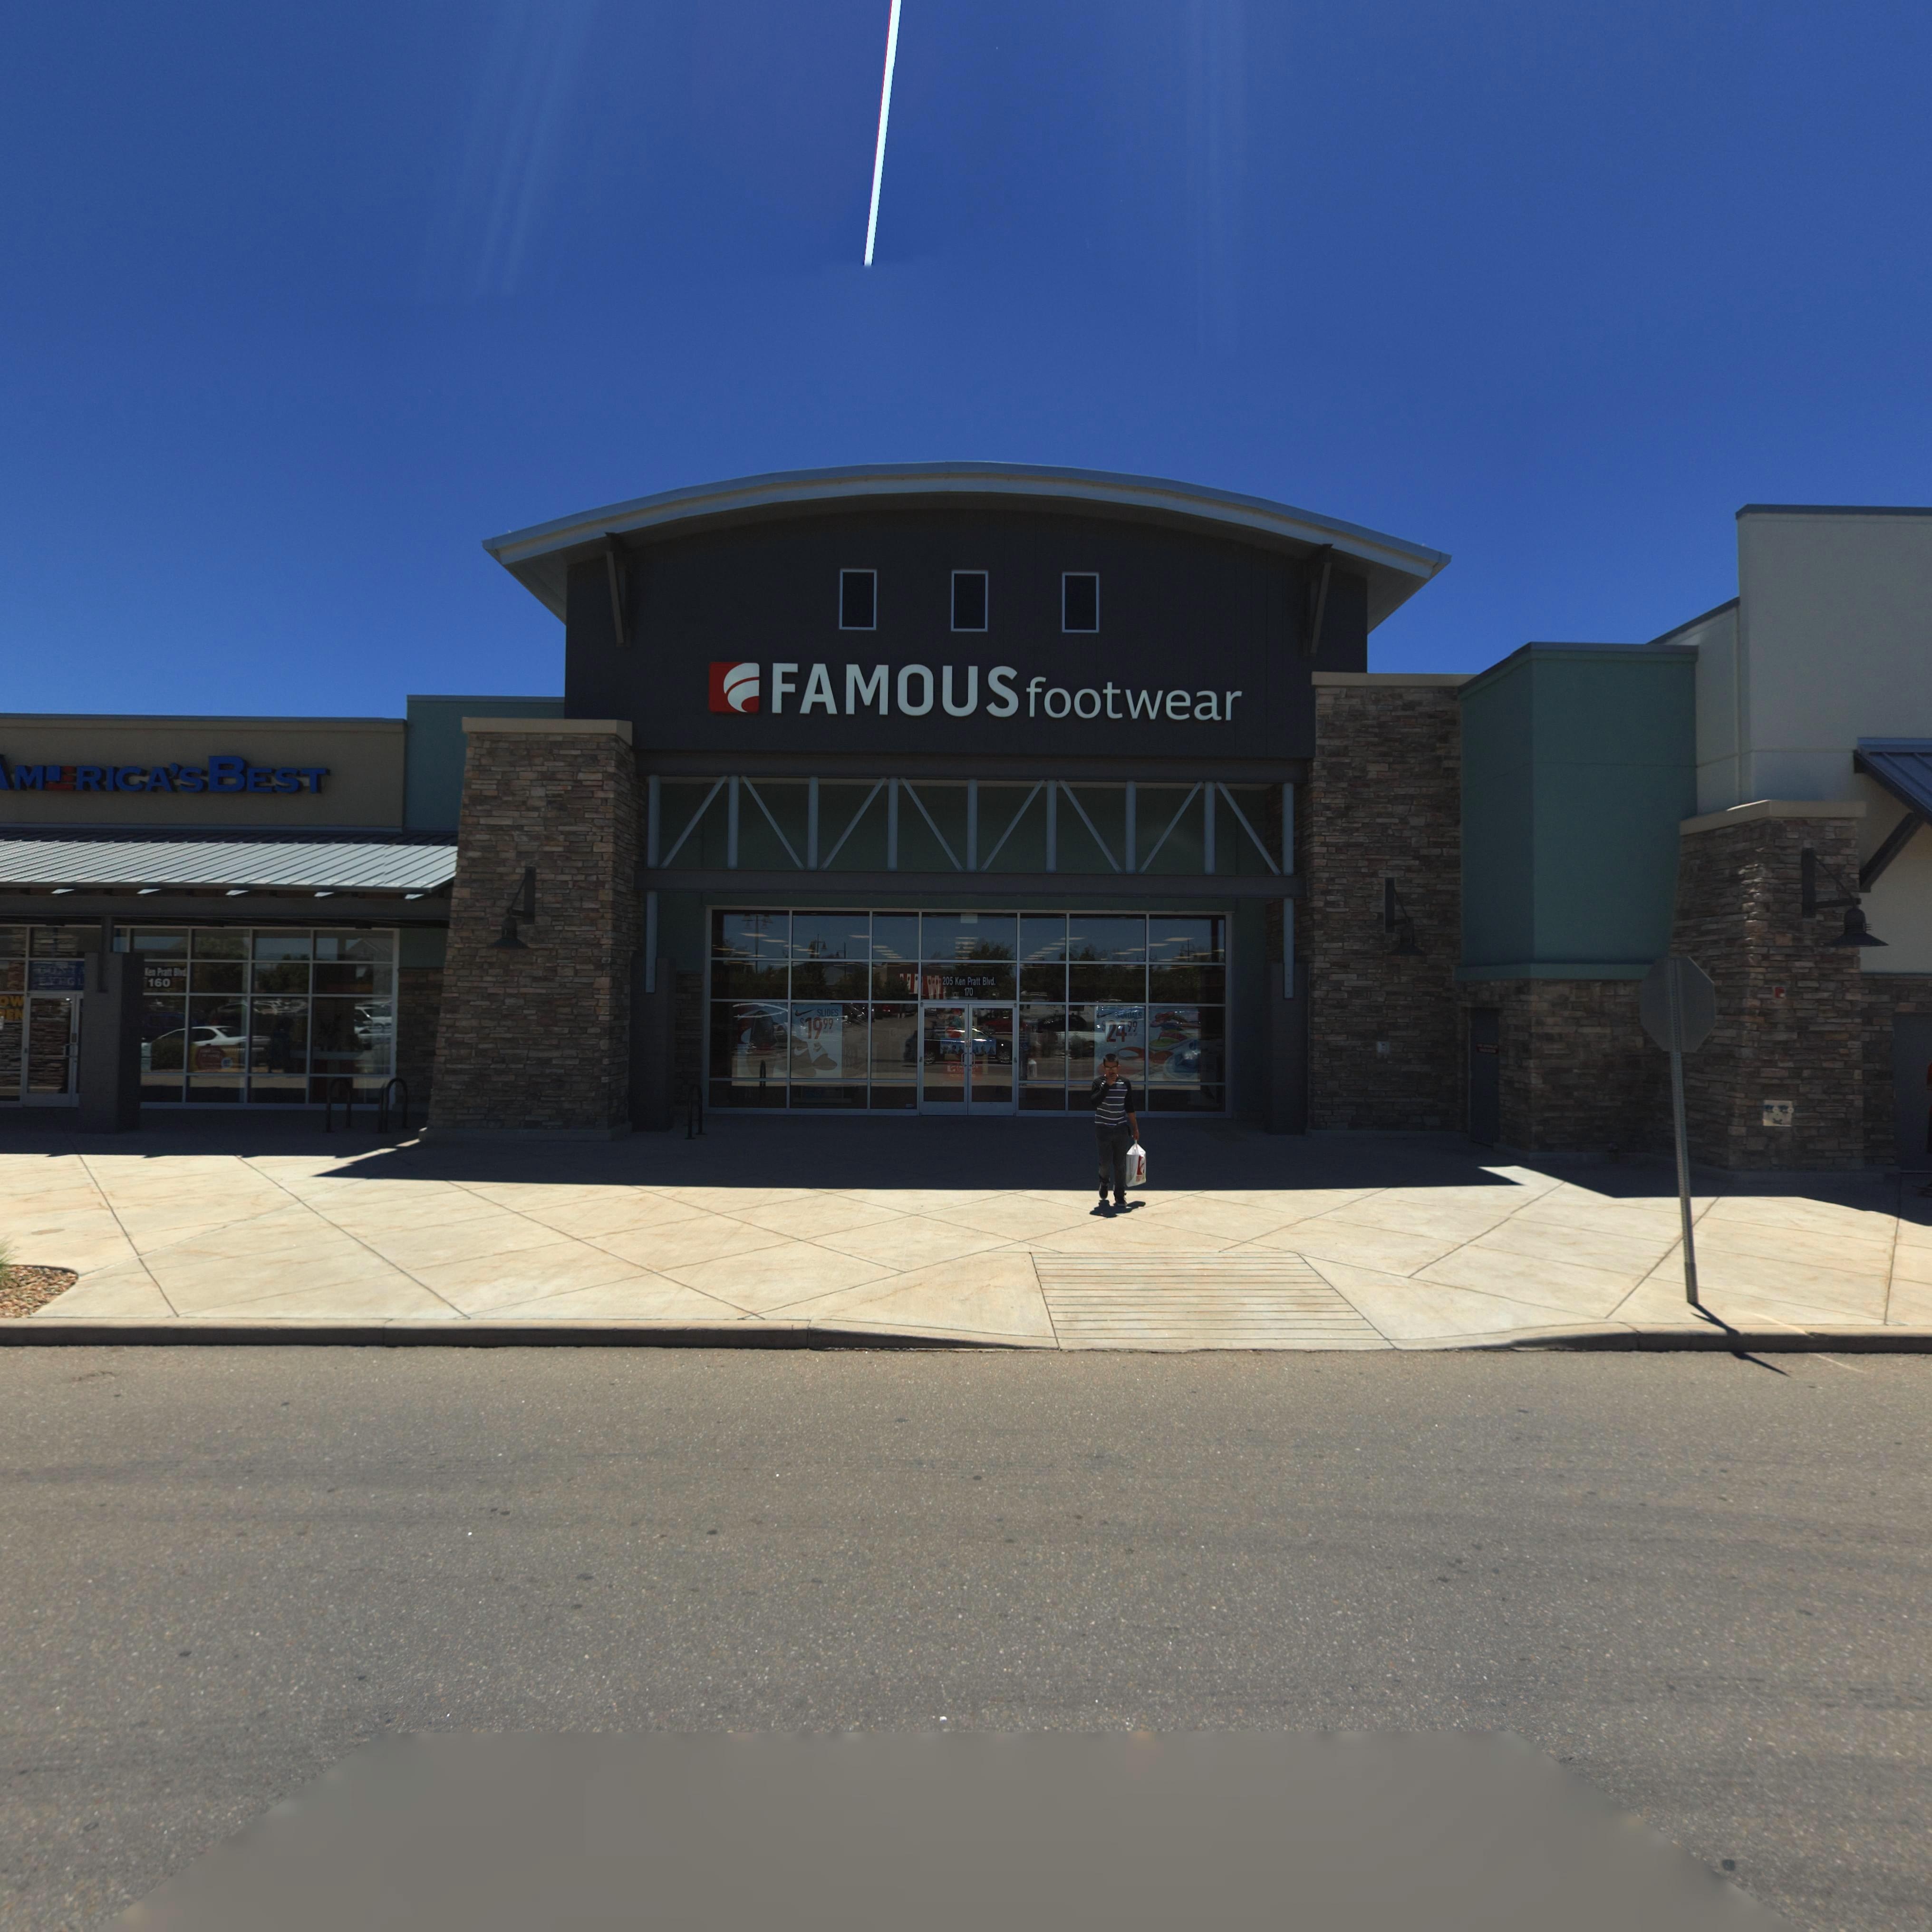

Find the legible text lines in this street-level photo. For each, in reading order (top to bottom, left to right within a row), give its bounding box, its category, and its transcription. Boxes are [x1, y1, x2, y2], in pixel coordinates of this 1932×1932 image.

[769, 658, 1246, 722] BusinessName: FAMOUS footwear
[12, 752, 334, 796] BusinessName: M*RICA'S BEST
[143, 966, 188, 976] StreetName: Ken Pratt Blvd.
[148, 977, 171, 986] StreetNumber: 160
[941, 975, 996, 986] StreetName: 205 Ken Pratt Blvd.
[963, 986, 974, 996] StreetNumber: 170